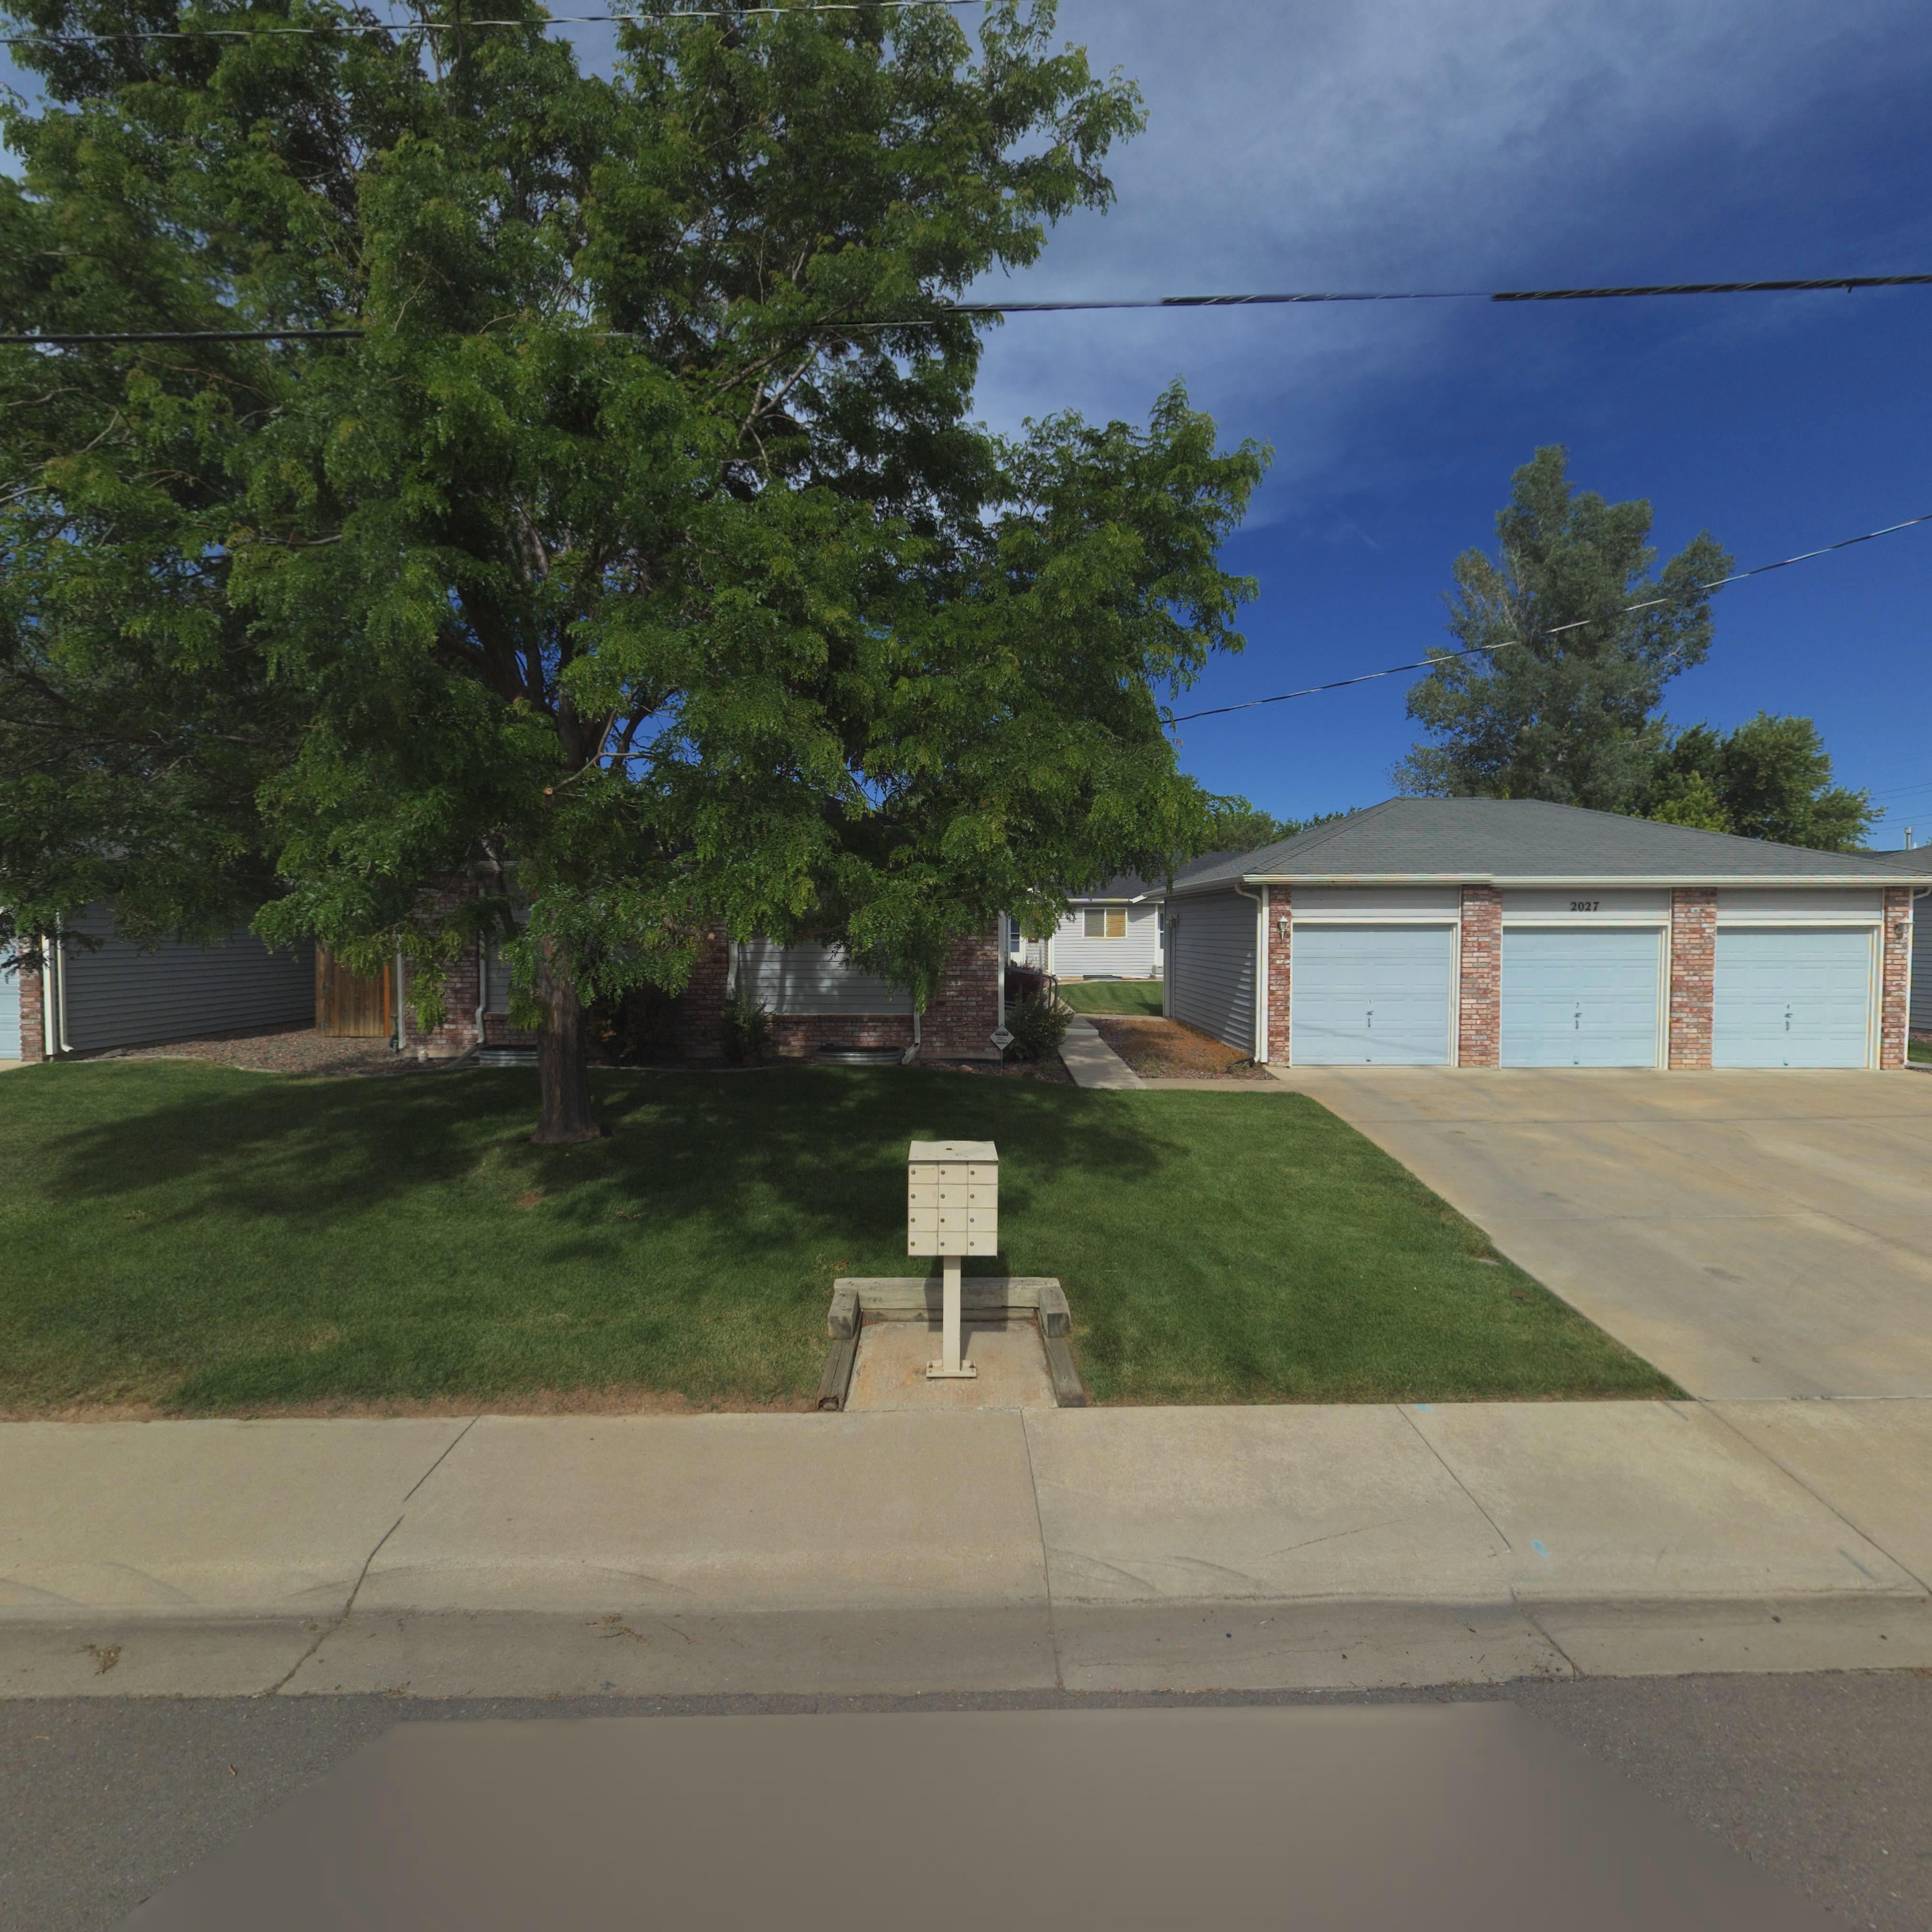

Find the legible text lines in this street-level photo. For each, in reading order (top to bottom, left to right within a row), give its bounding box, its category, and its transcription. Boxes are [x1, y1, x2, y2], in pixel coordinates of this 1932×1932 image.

[1569, 901, 1600, 912] StreetNumber: 2027